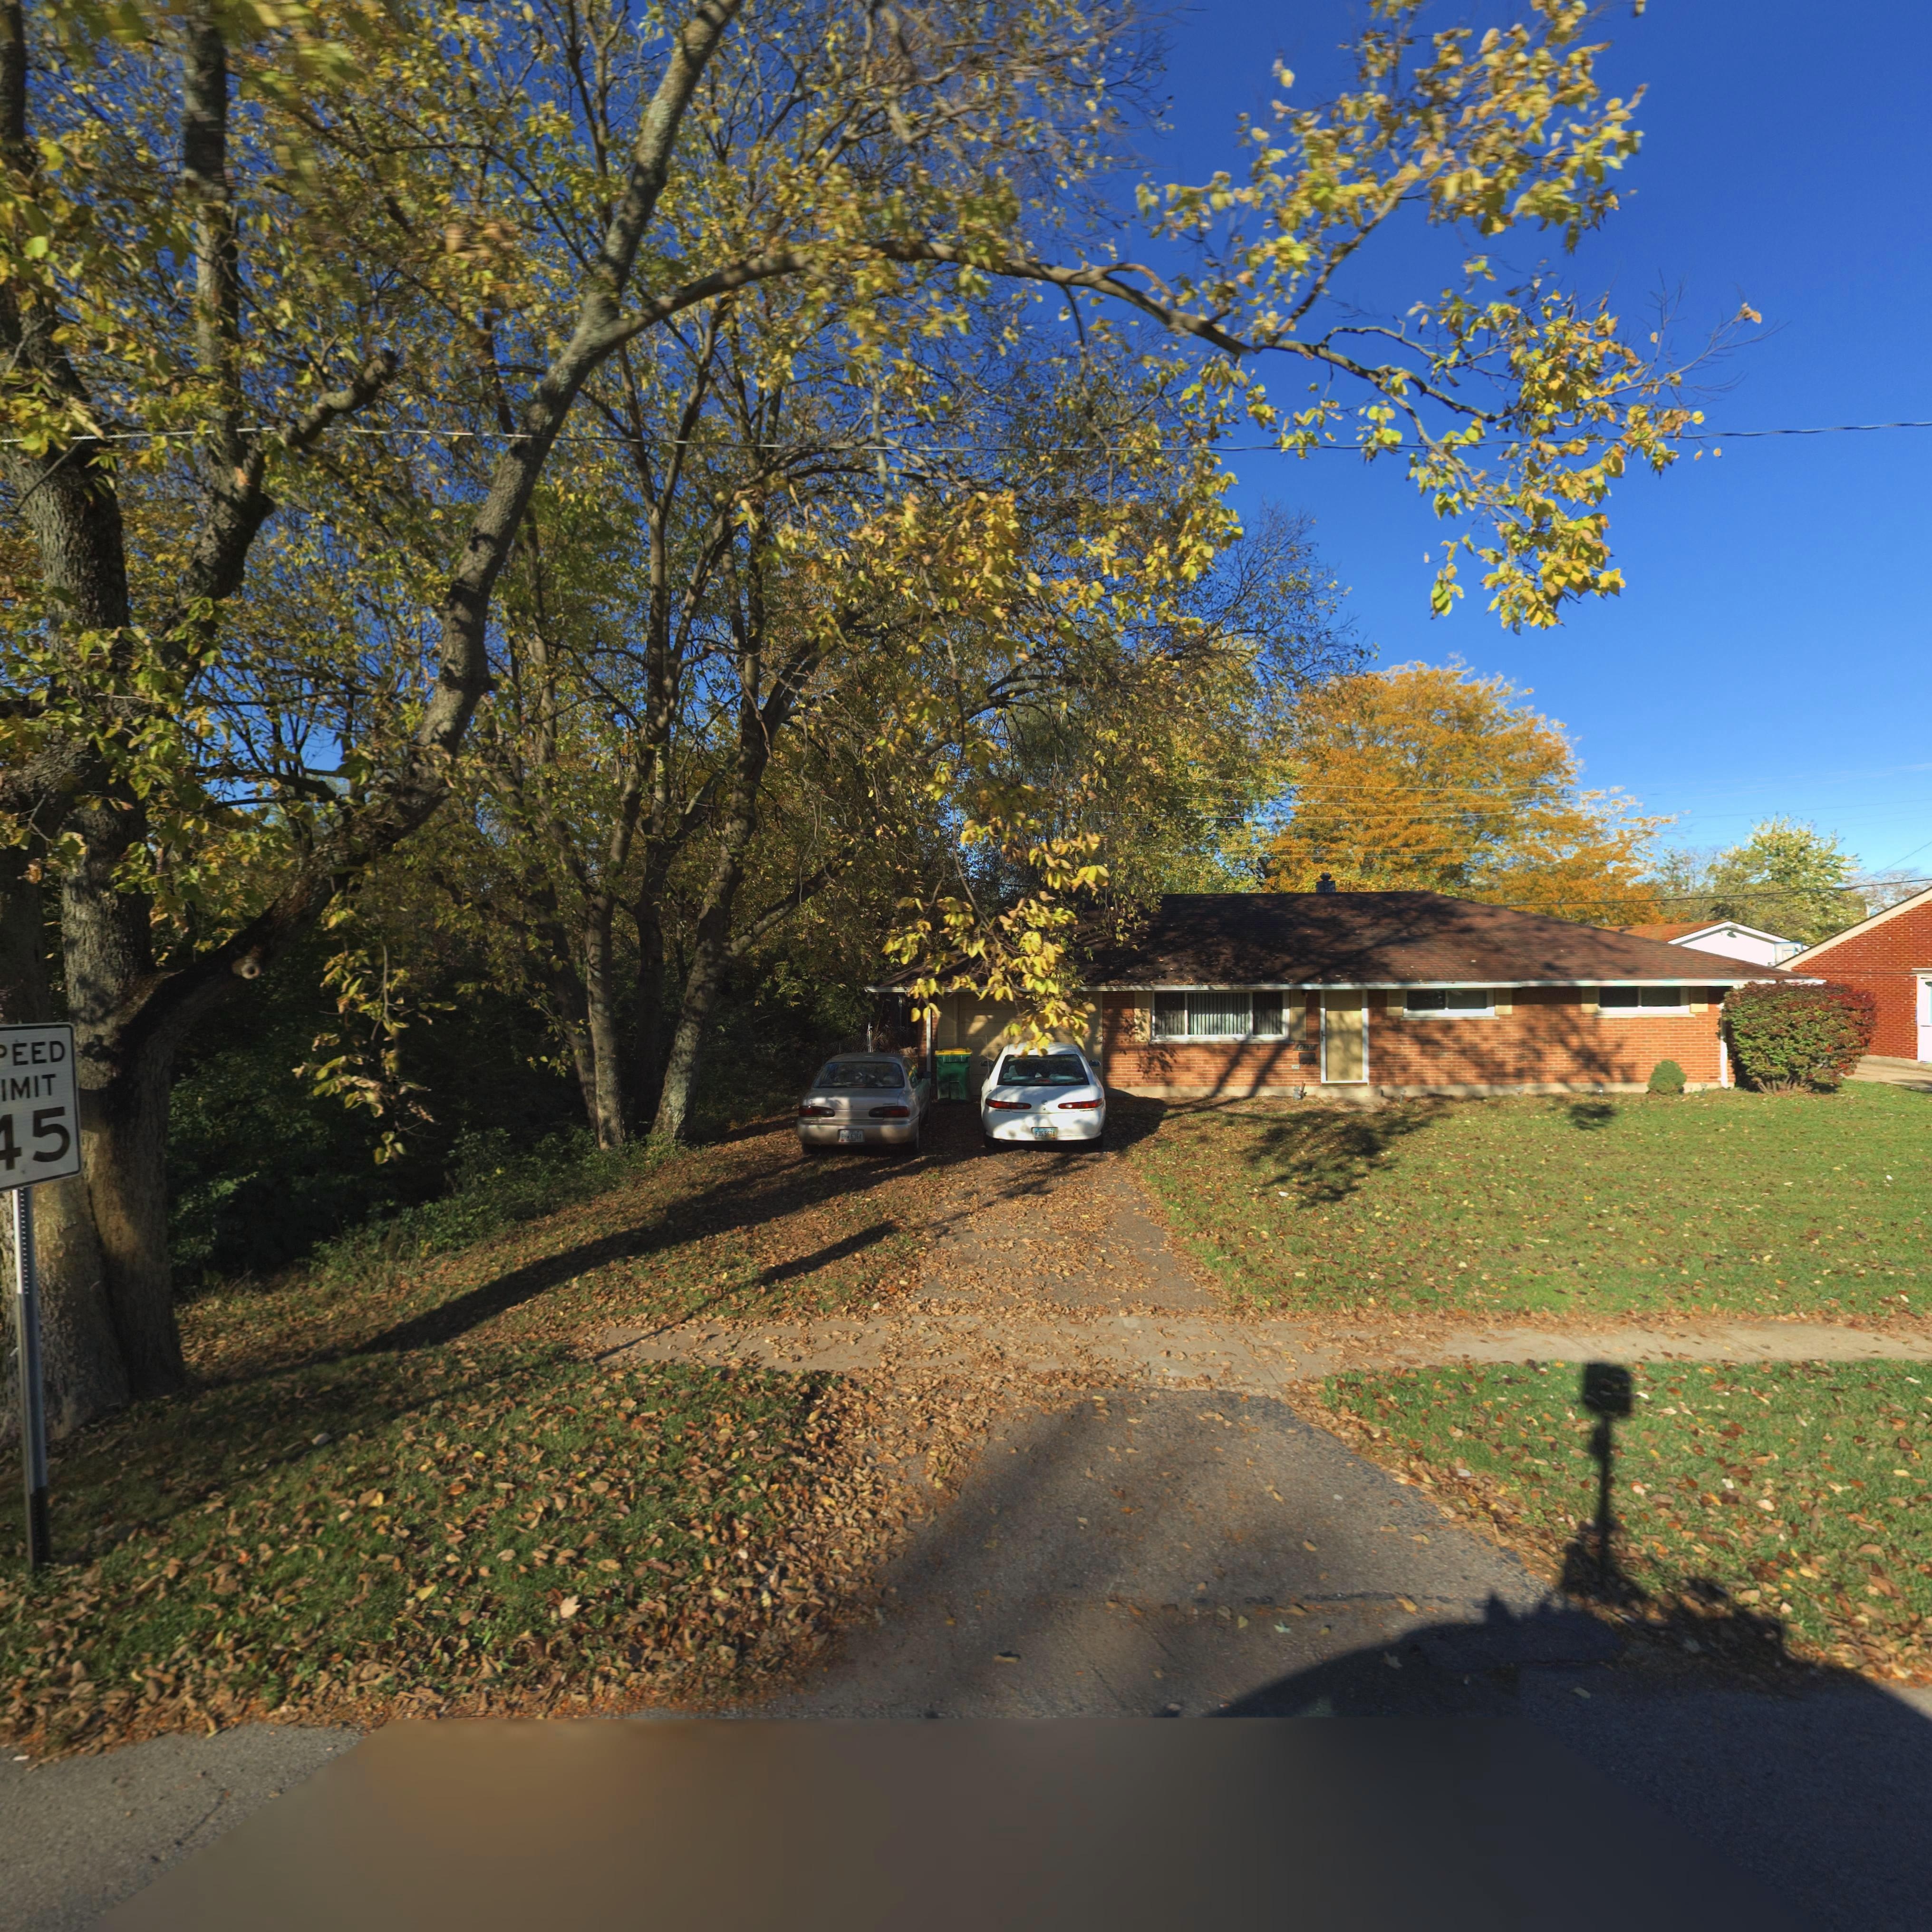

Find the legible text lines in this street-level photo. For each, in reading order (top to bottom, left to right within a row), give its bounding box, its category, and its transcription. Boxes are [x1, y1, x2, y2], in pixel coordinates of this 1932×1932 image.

[1297, 1044, 1314, 1050] StreetNumber: 4999